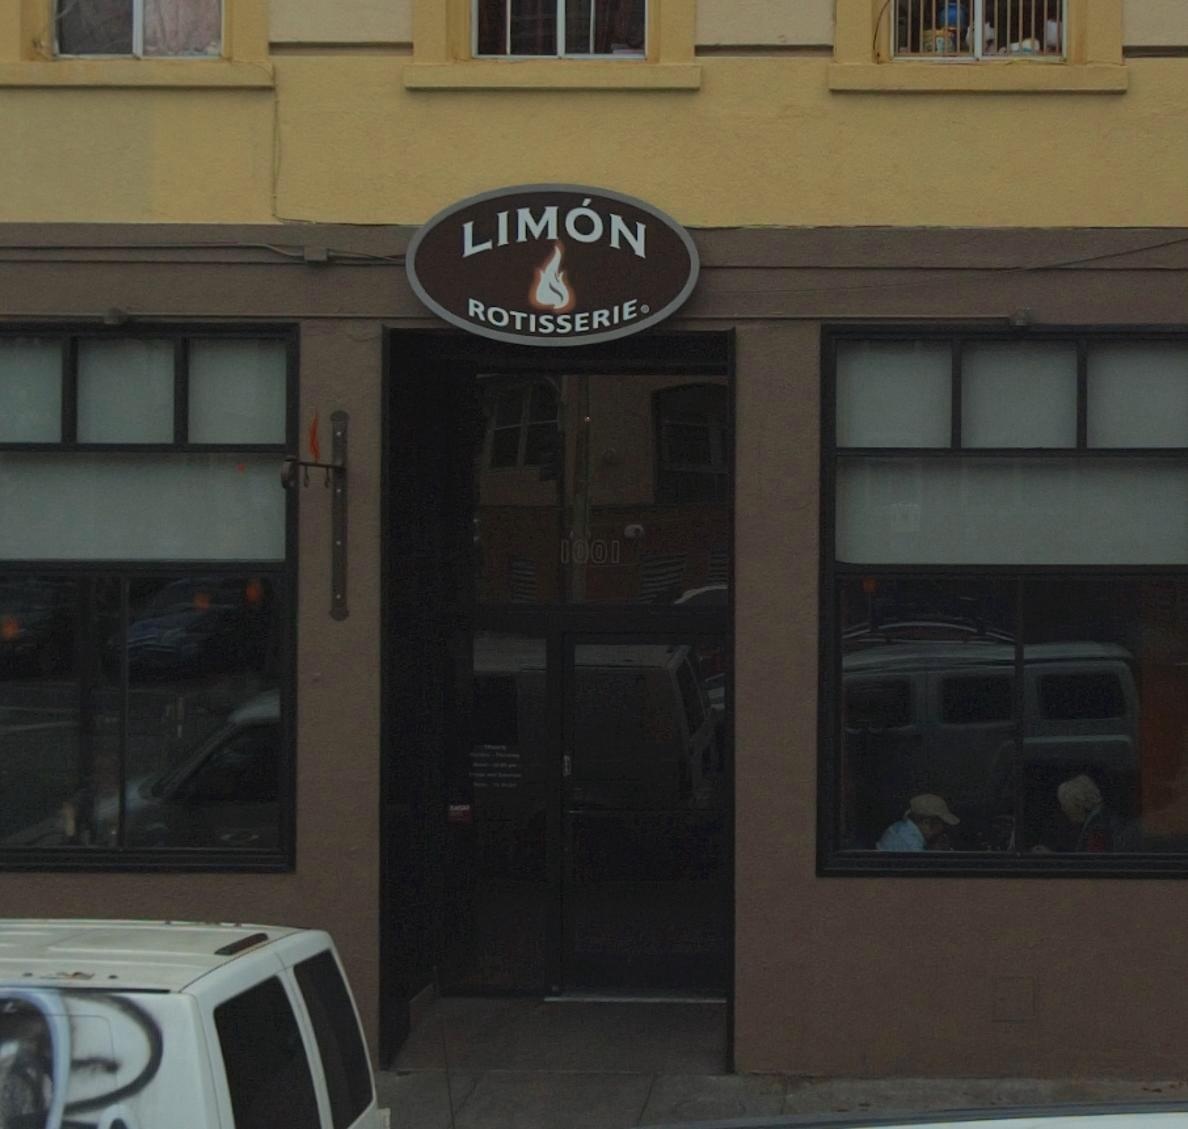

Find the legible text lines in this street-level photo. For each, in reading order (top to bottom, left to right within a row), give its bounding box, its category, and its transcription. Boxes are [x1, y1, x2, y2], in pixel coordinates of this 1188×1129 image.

[460, 205, 648, 261] BusinessName: LIMON
[466, 296, 639, 335] BusinessName: ROTISSERIE
[559, 538, 621, 565] StreetNumber: 1001